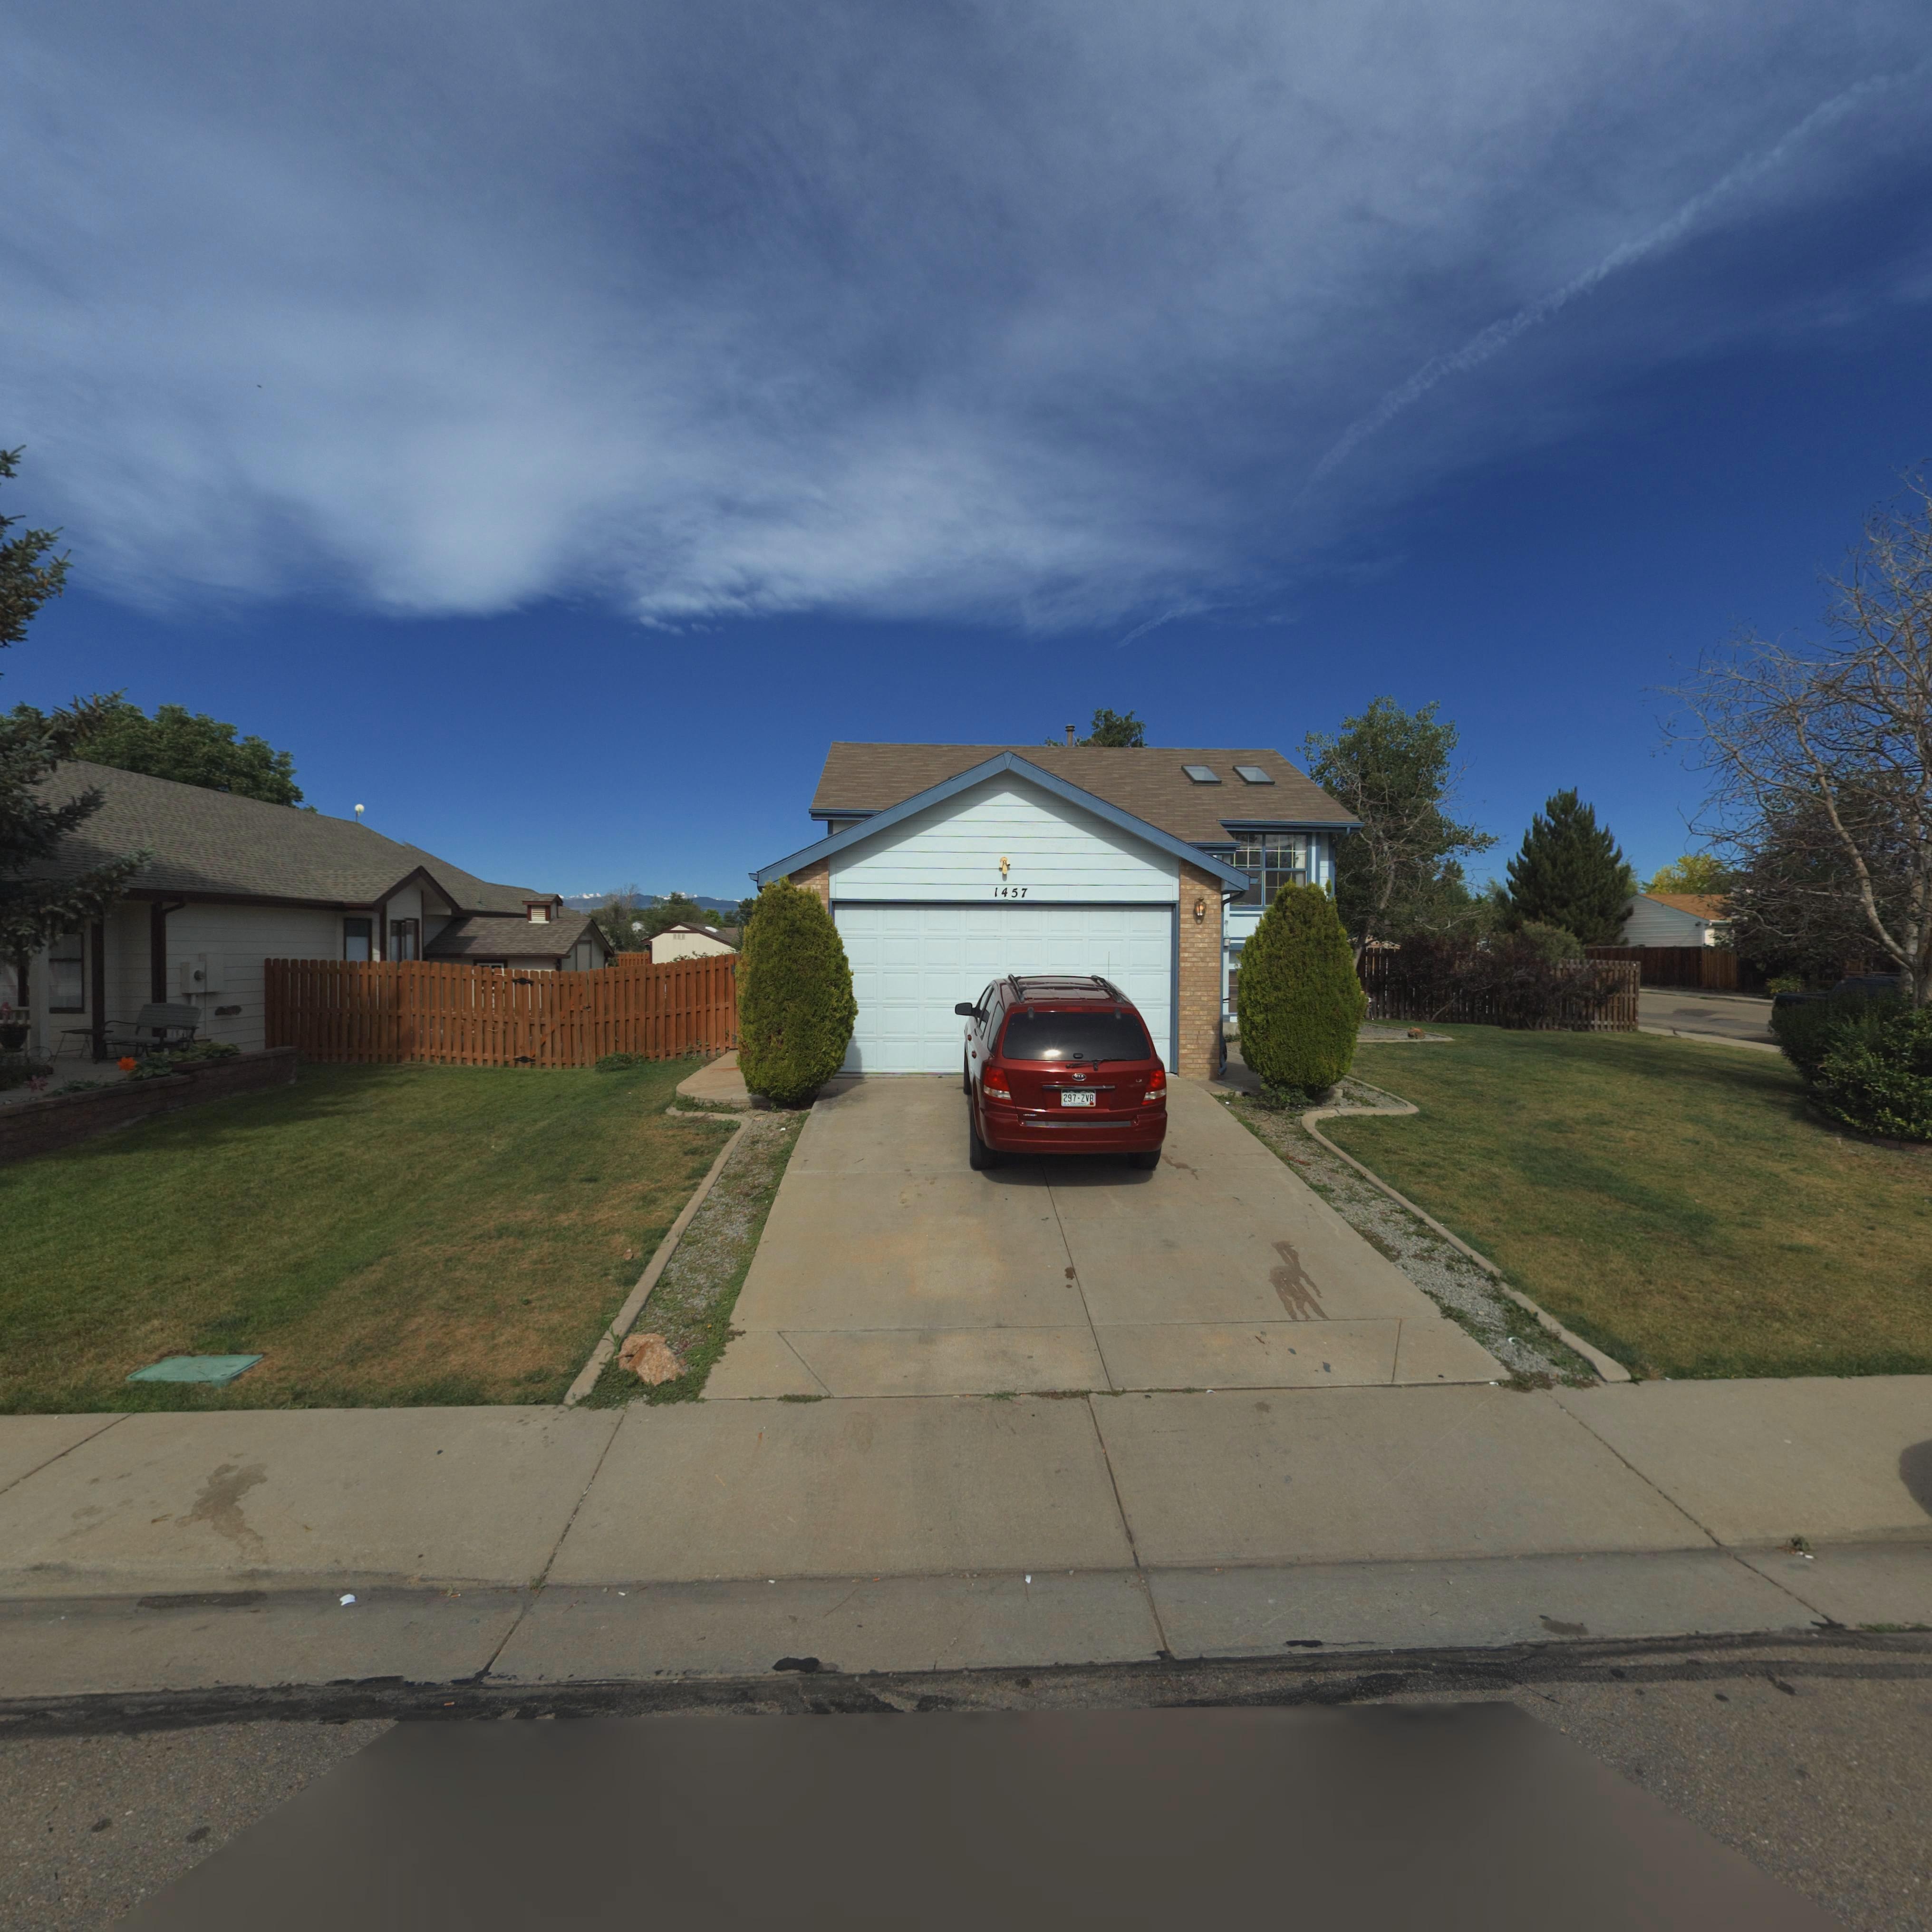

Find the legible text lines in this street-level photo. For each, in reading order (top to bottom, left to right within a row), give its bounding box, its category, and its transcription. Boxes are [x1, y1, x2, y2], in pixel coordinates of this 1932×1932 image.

[995, 887, 1028, 898] StreetNumber: 1457